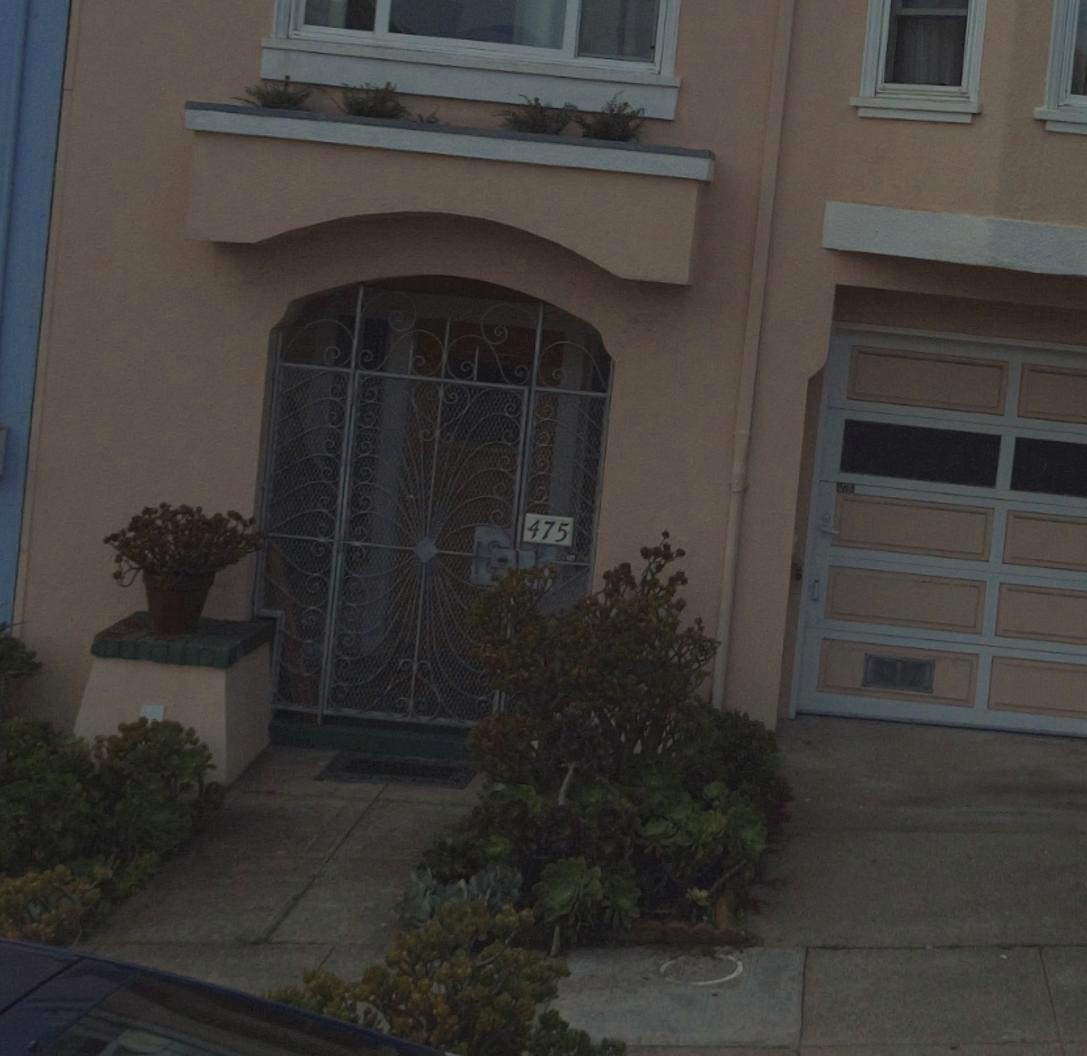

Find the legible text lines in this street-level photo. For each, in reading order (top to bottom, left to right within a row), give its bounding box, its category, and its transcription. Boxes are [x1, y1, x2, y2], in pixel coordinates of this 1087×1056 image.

[525, 518, 571, 543] StreetNumber: 475